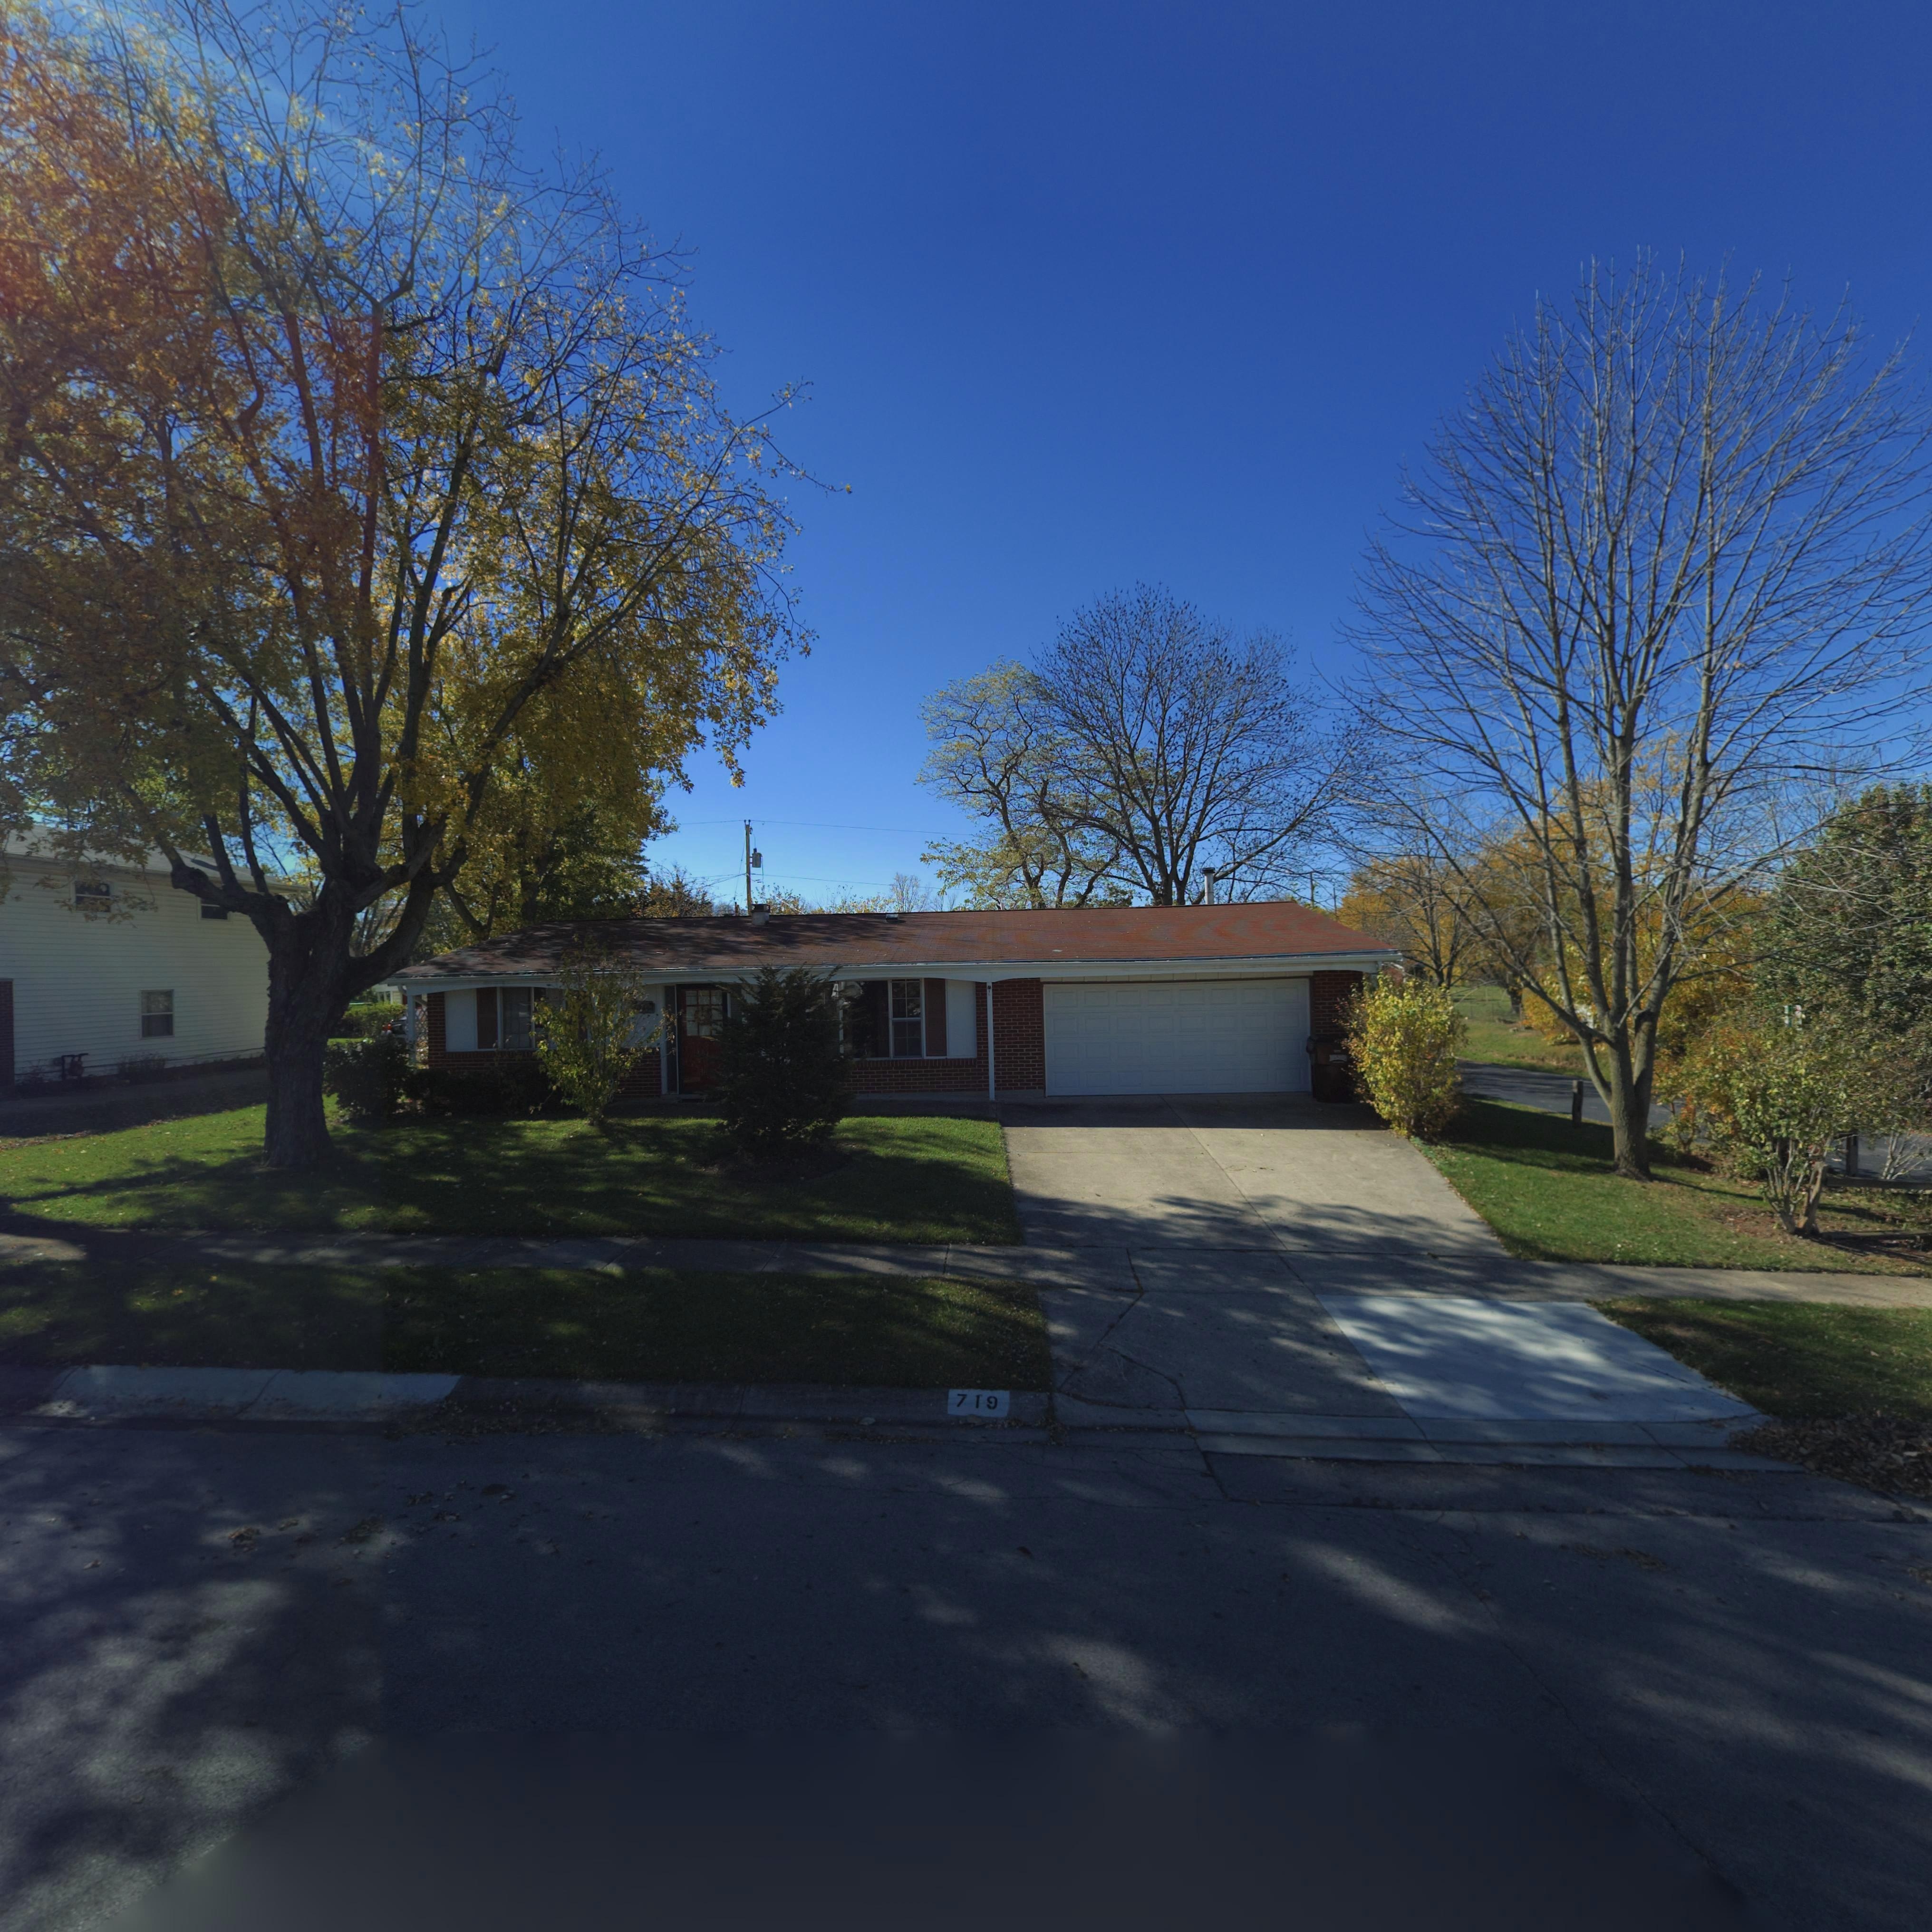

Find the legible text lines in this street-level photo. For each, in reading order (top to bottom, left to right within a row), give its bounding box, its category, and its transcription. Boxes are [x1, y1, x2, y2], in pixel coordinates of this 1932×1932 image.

[956, 1392, 998, 1410] StreetNumber: 719